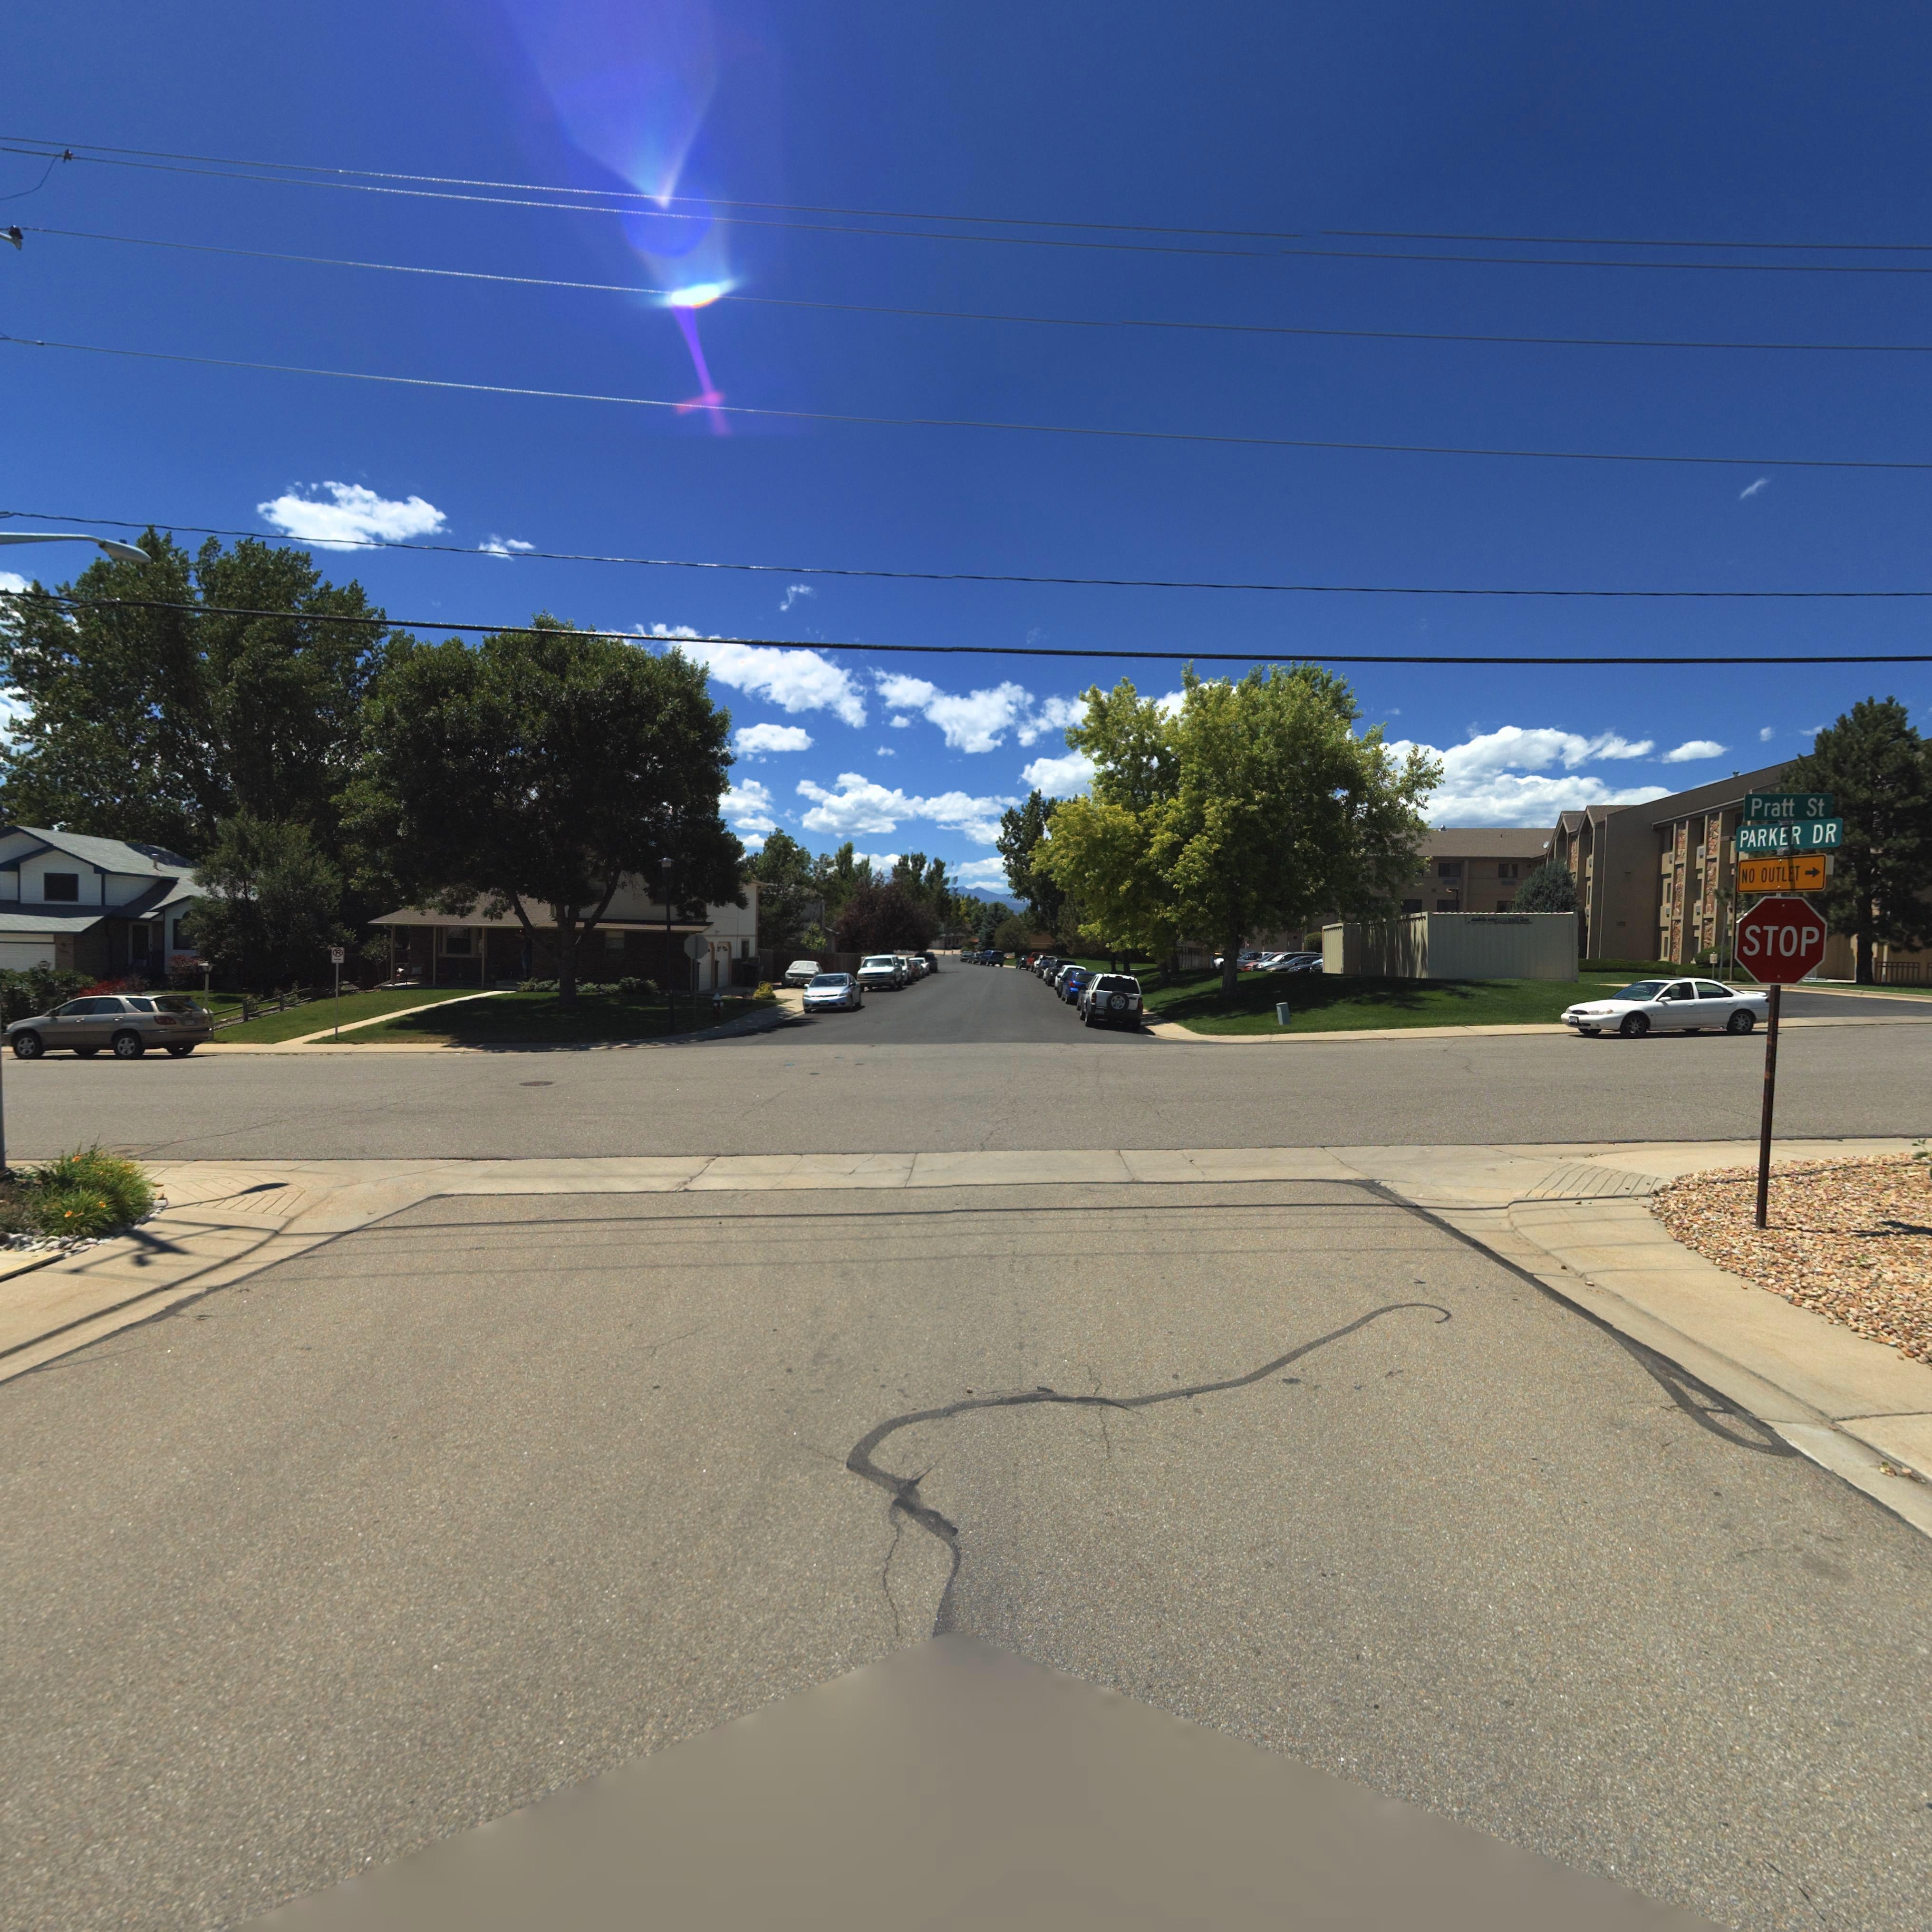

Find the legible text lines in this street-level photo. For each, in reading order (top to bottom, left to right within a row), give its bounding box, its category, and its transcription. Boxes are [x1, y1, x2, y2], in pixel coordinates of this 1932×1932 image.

[1750, 797, 1825, 817] StreetName: Pratt St
[1739, 822, 1837, 848] StreetName: PARKER DR